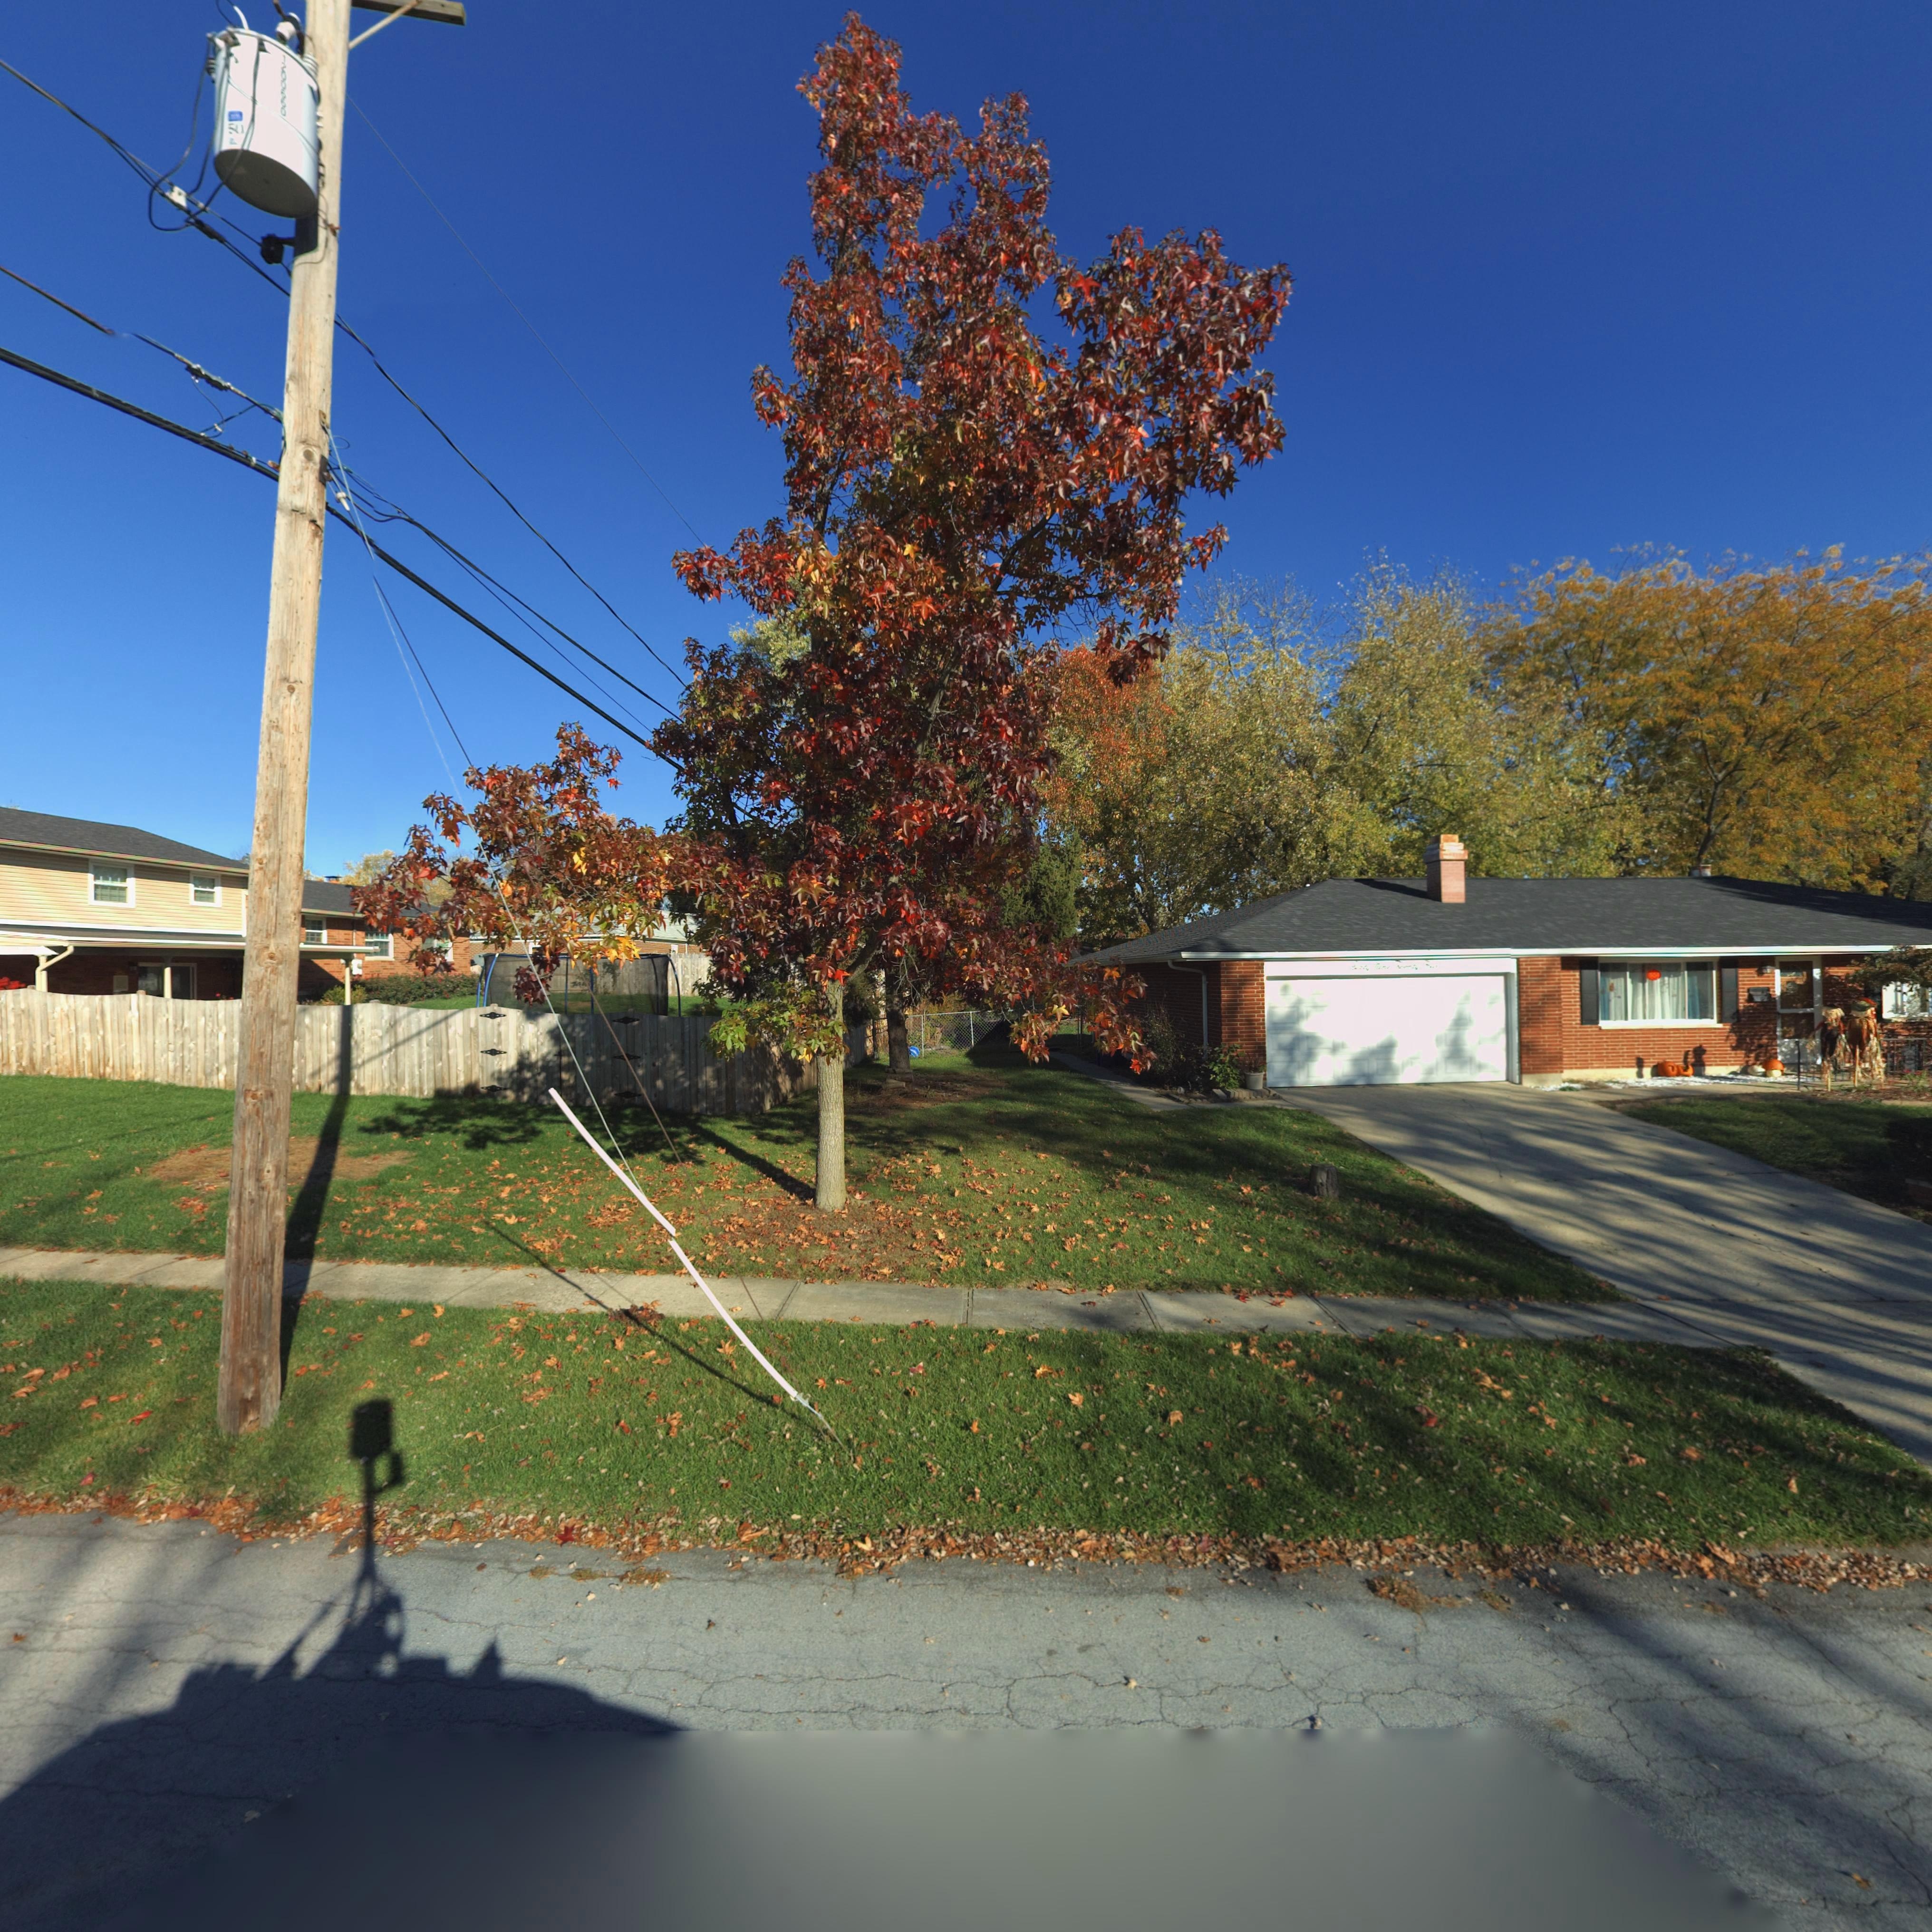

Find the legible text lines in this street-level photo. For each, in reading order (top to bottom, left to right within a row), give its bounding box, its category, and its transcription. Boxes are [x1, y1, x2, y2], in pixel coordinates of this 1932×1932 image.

[1372, 961, 1392, 970] StreetNumber: Nine